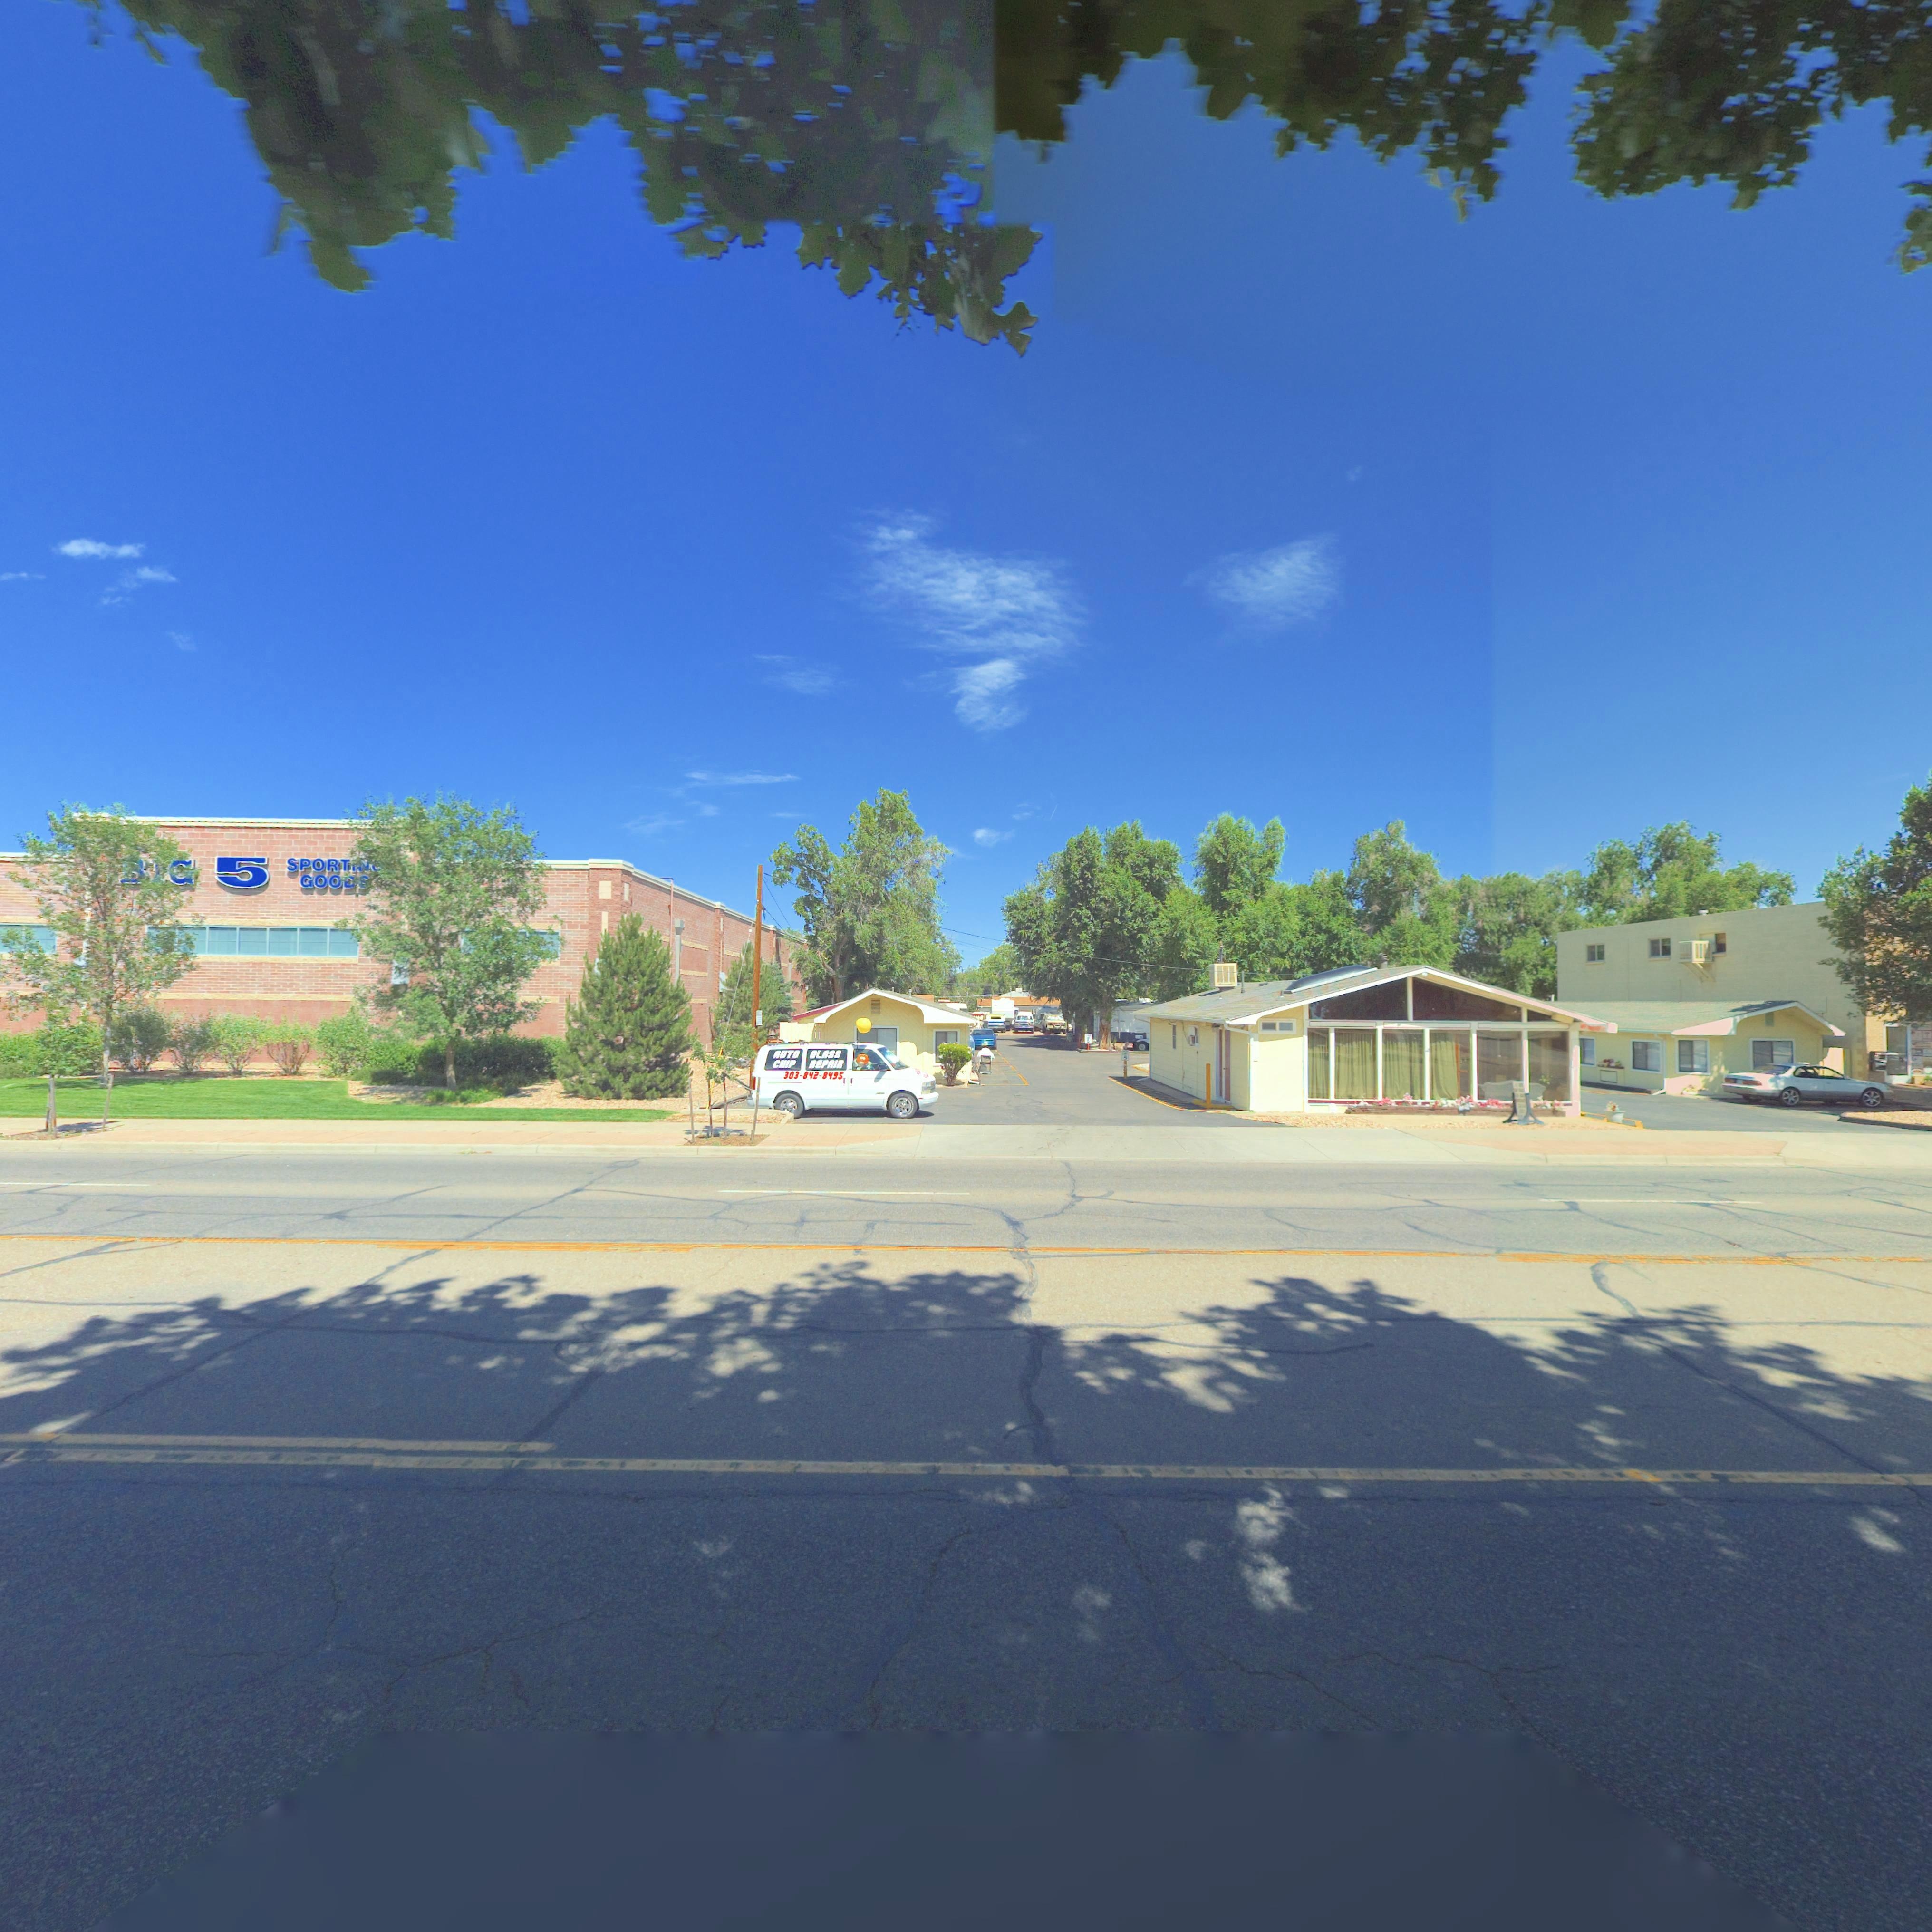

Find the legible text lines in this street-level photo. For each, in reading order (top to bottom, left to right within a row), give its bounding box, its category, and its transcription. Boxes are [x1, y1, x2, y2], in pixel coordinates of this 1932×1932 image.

[286, 857, 384, 872] BusinessName: SPORT***
[120, 856, 271, 890] BusinessName: **G 5
[299, 874, 370, 889] BusinessName: GOO**